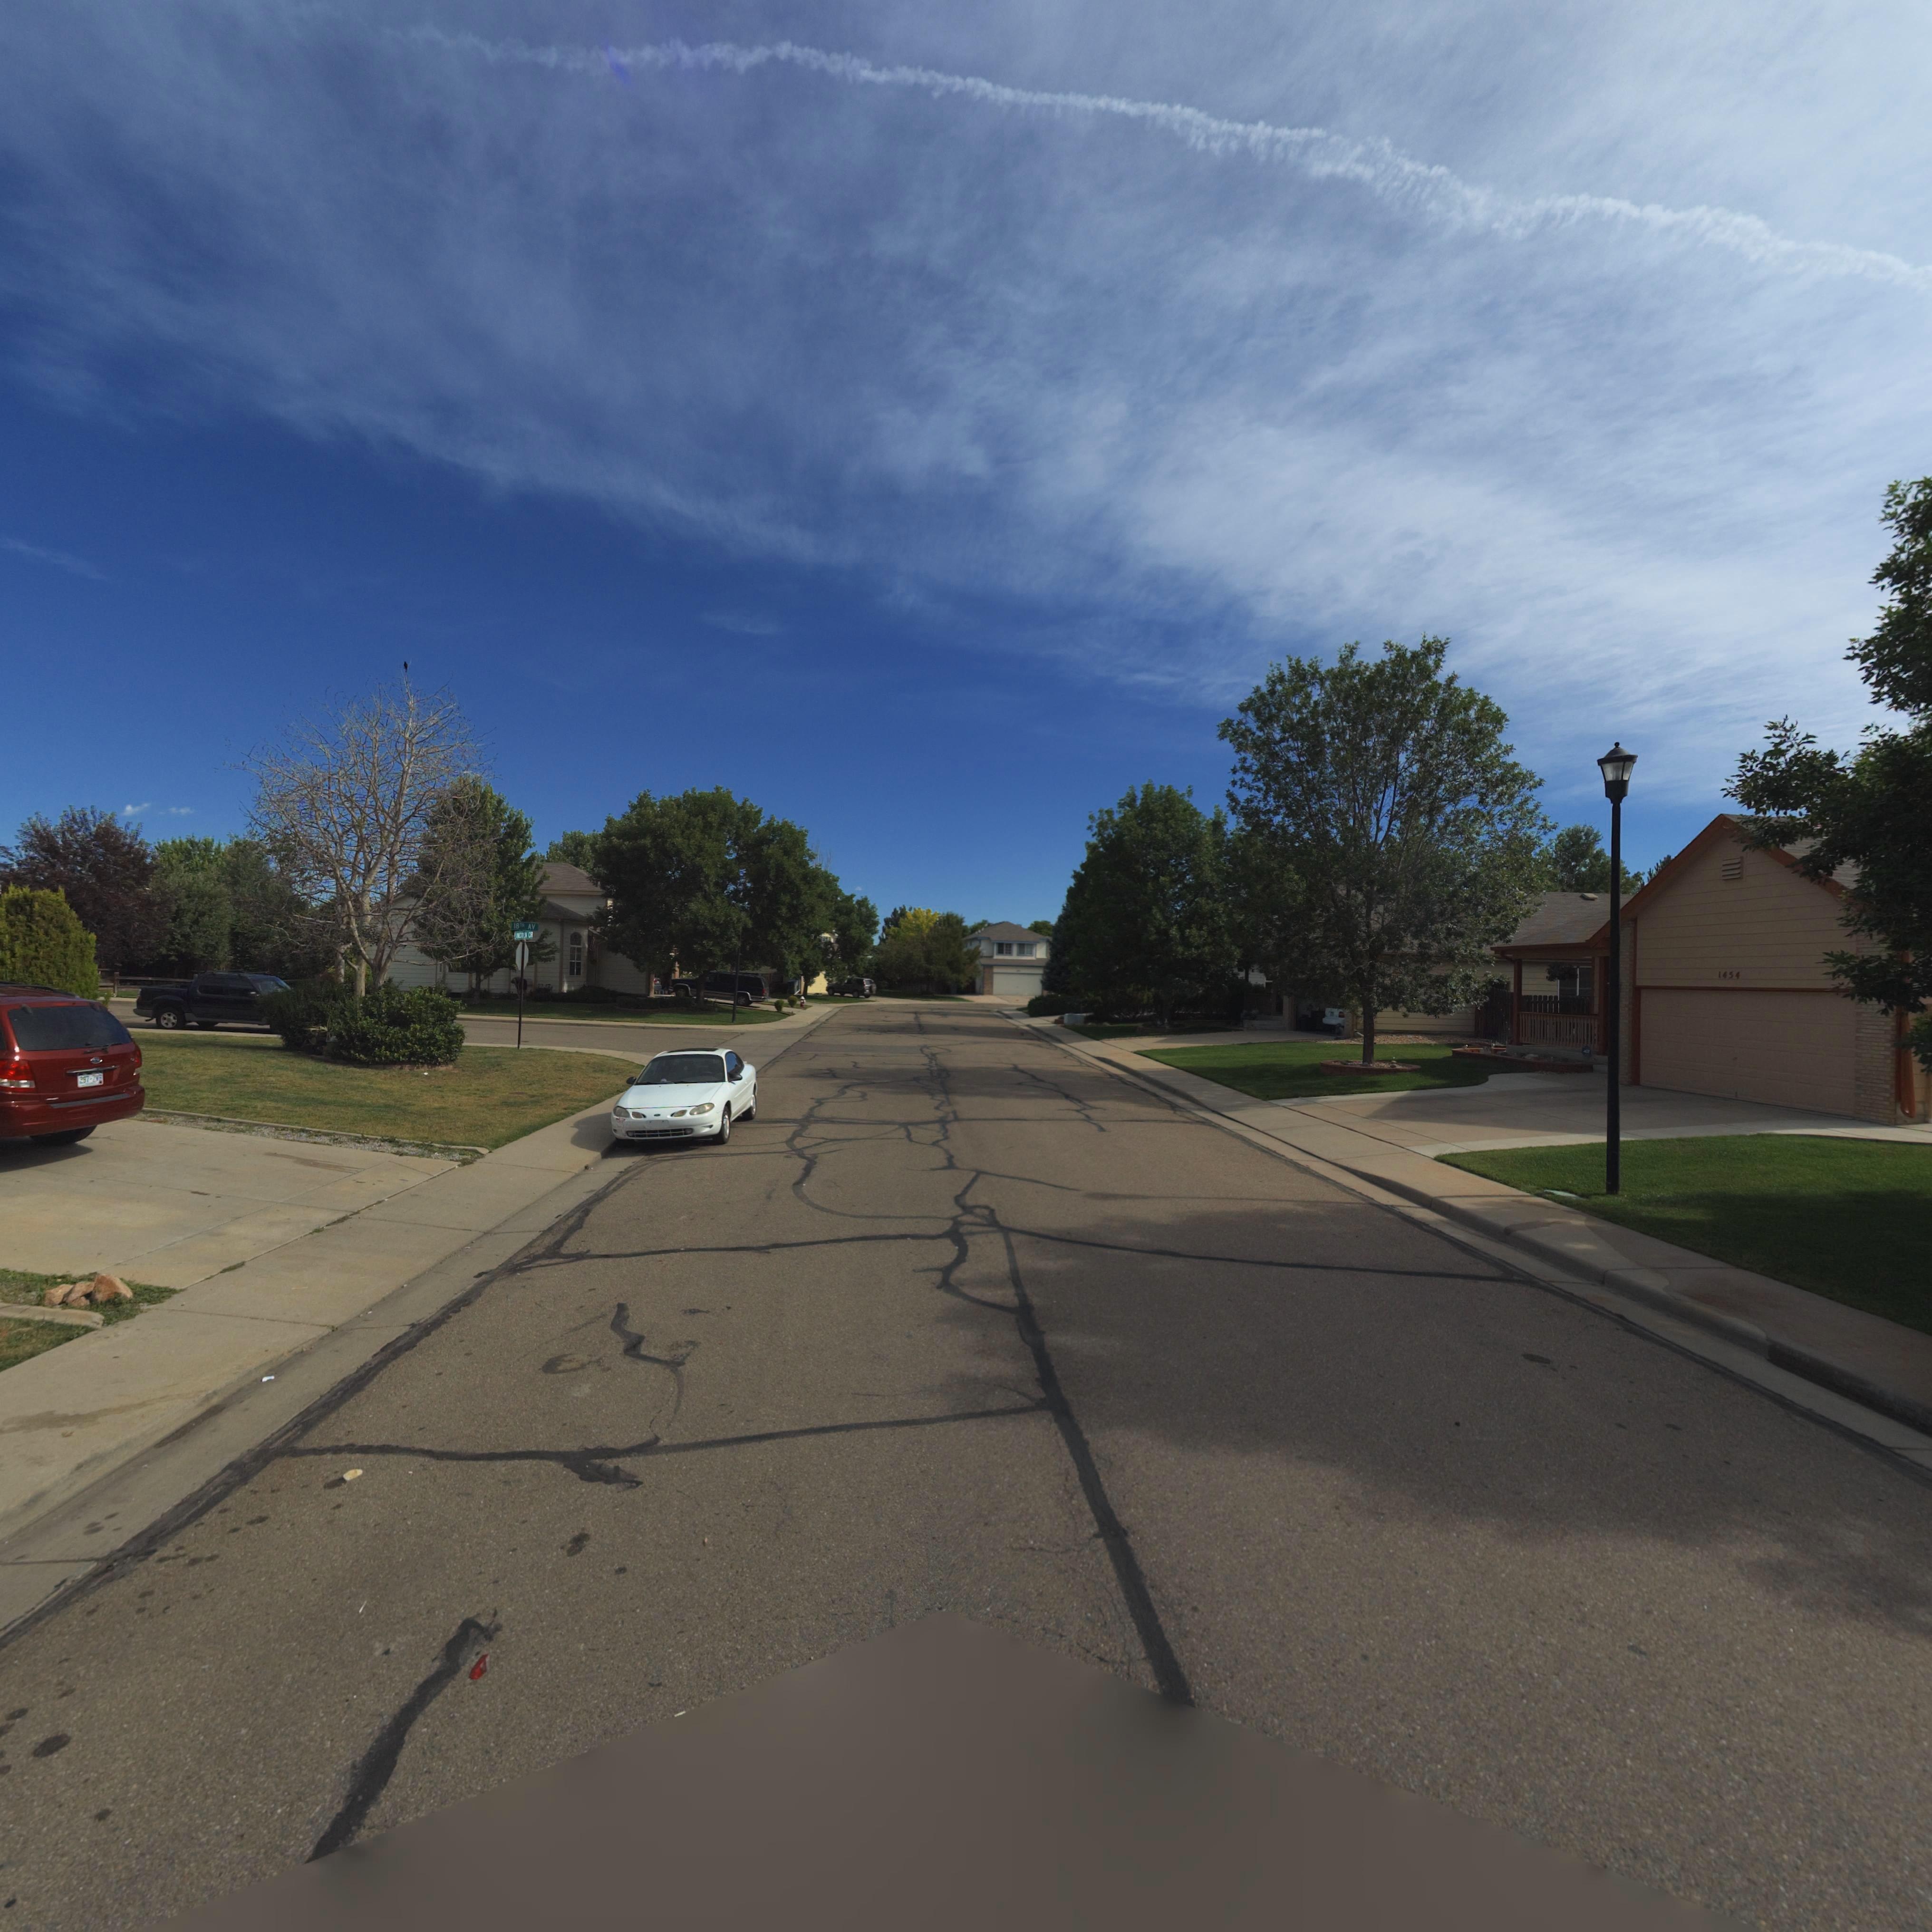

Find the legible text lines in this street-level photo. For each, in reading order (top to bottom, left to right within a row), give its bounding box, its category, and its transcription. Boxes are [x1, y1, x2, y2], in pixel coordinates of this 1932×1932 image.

[513, 922, 536, 930] StreetName: 18TH AV
[513, 931, 533, 939] StreetName: LINCOLN CIR
[1718, 970, 1740, 979] StreetNumber: 1454